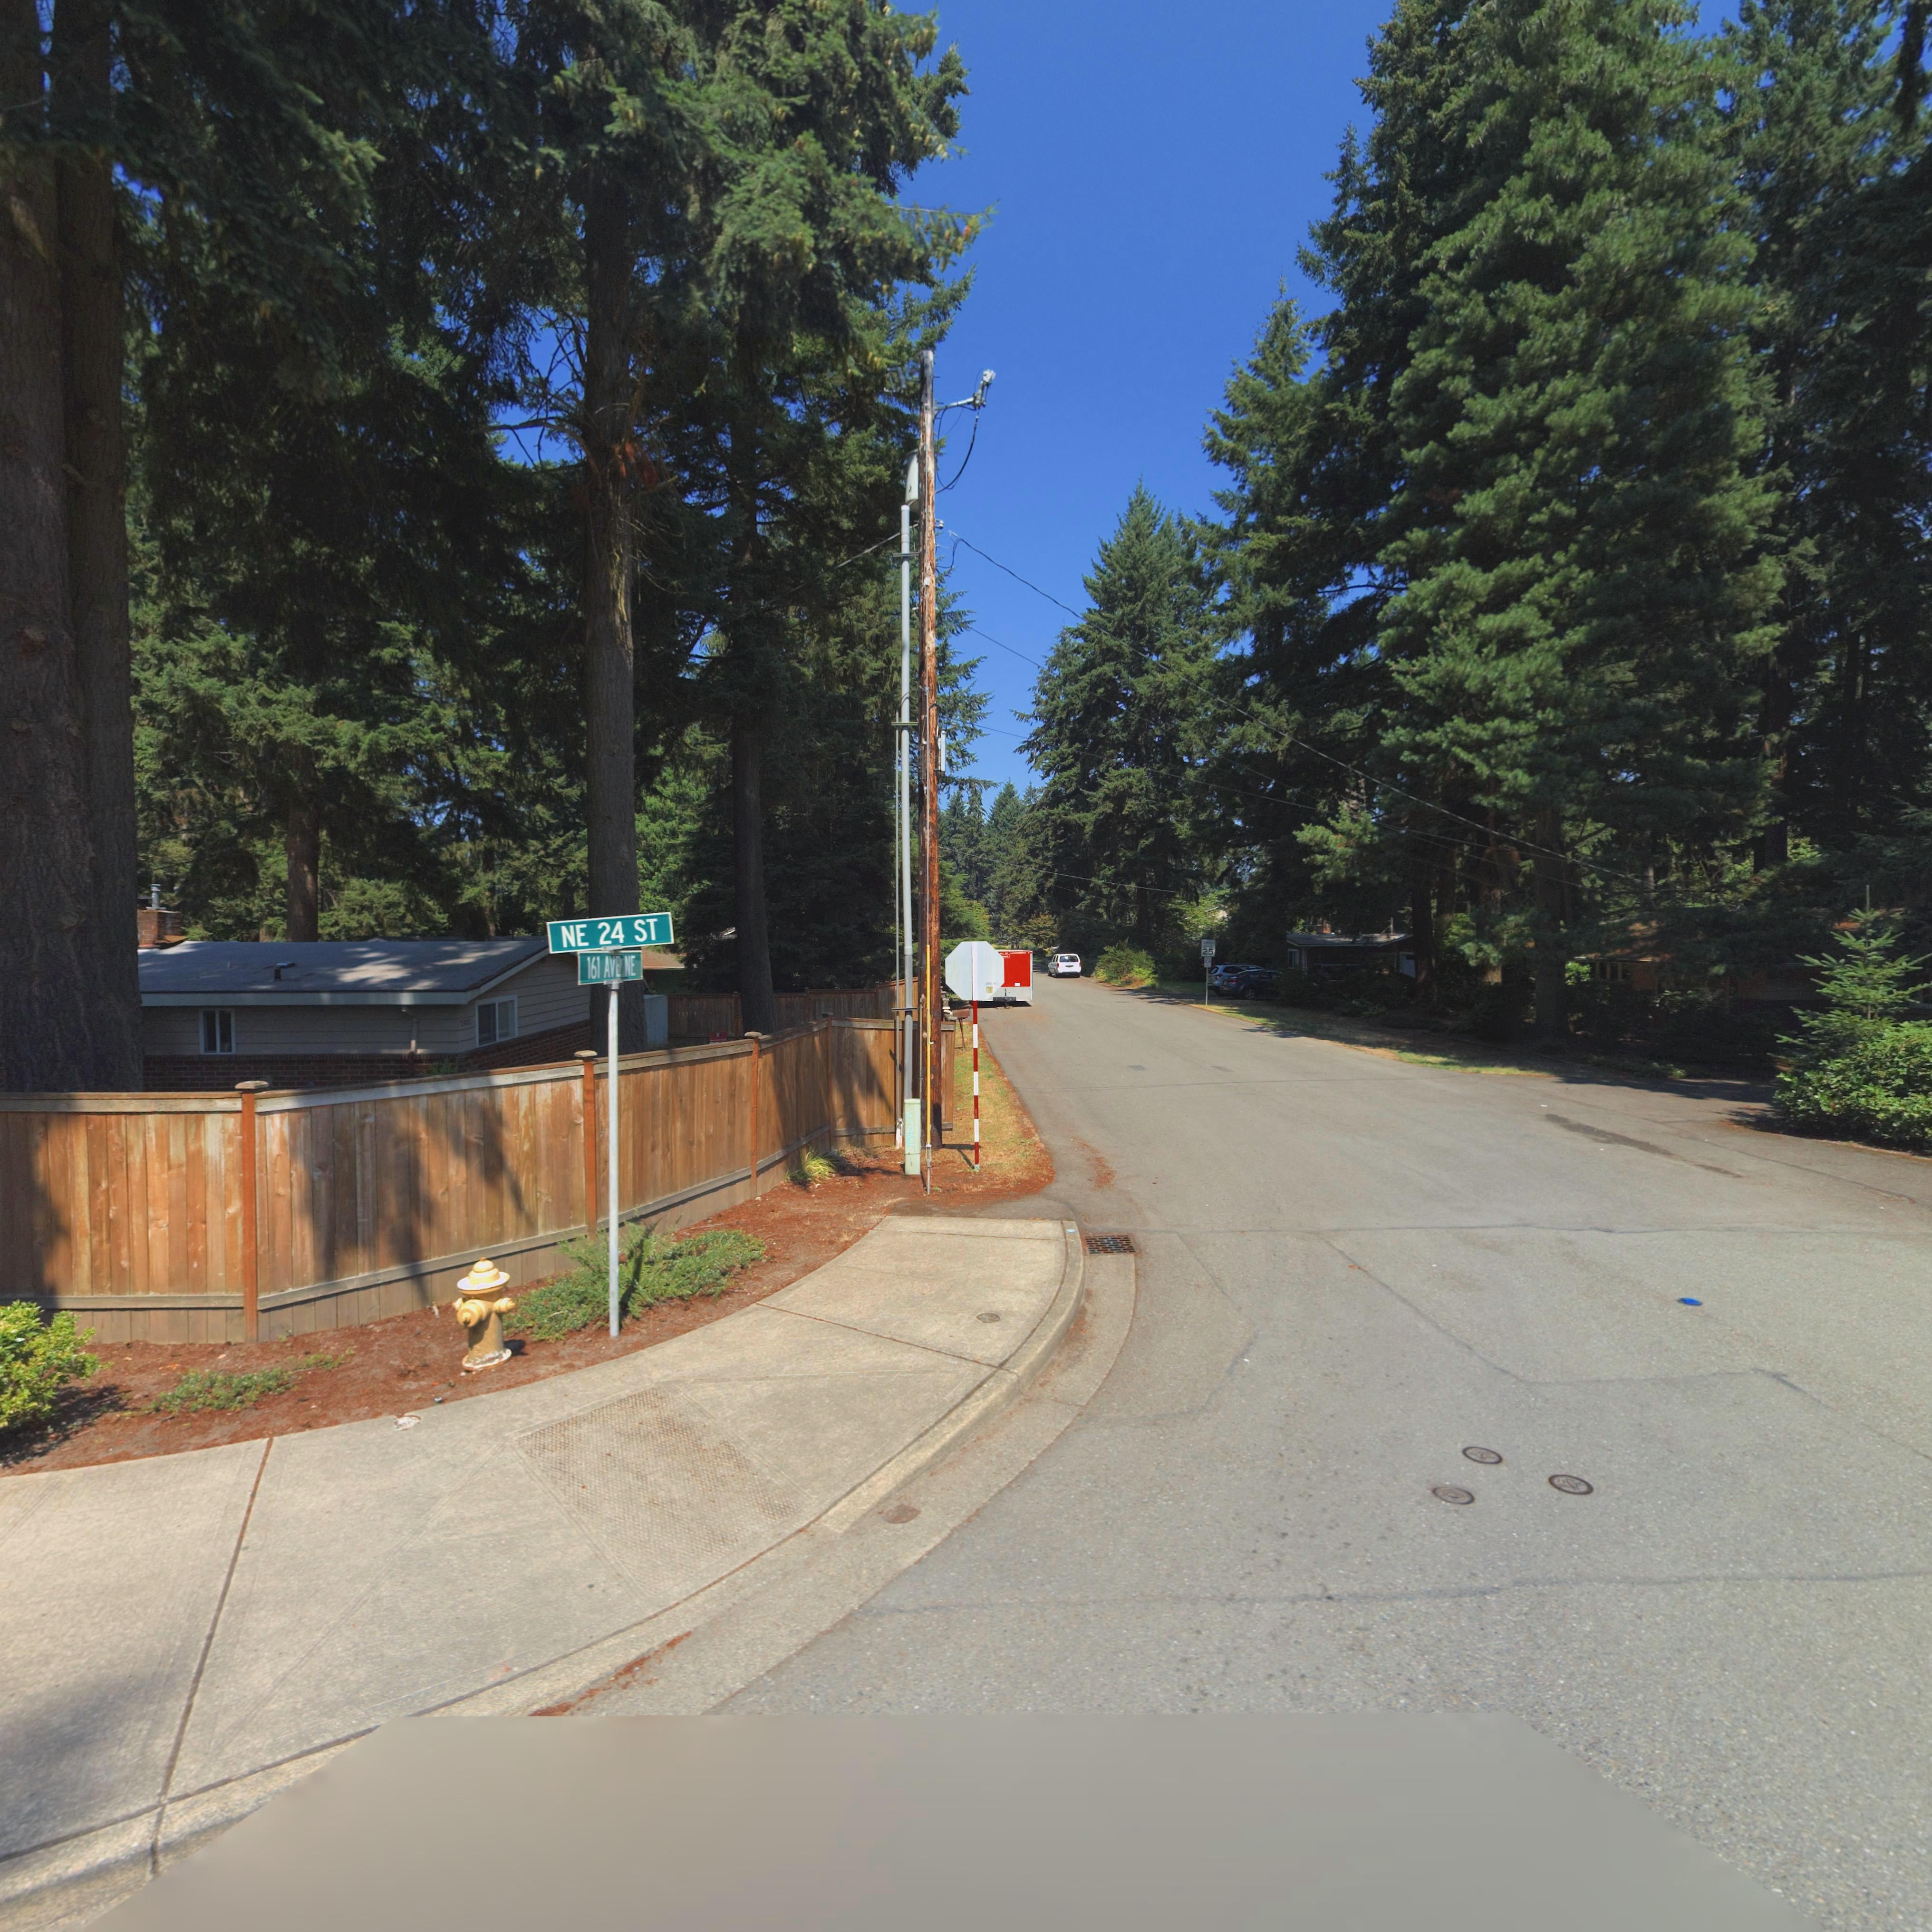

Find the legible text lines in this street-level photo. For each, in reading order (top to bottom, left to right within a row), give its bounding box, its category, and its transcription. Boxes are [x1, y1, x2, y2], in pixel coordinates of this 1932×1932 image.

[560, 918, 658, 948] StreetName: NE 24 ST
[586, 955, 637, 978] StreetName: 161 AVE NE